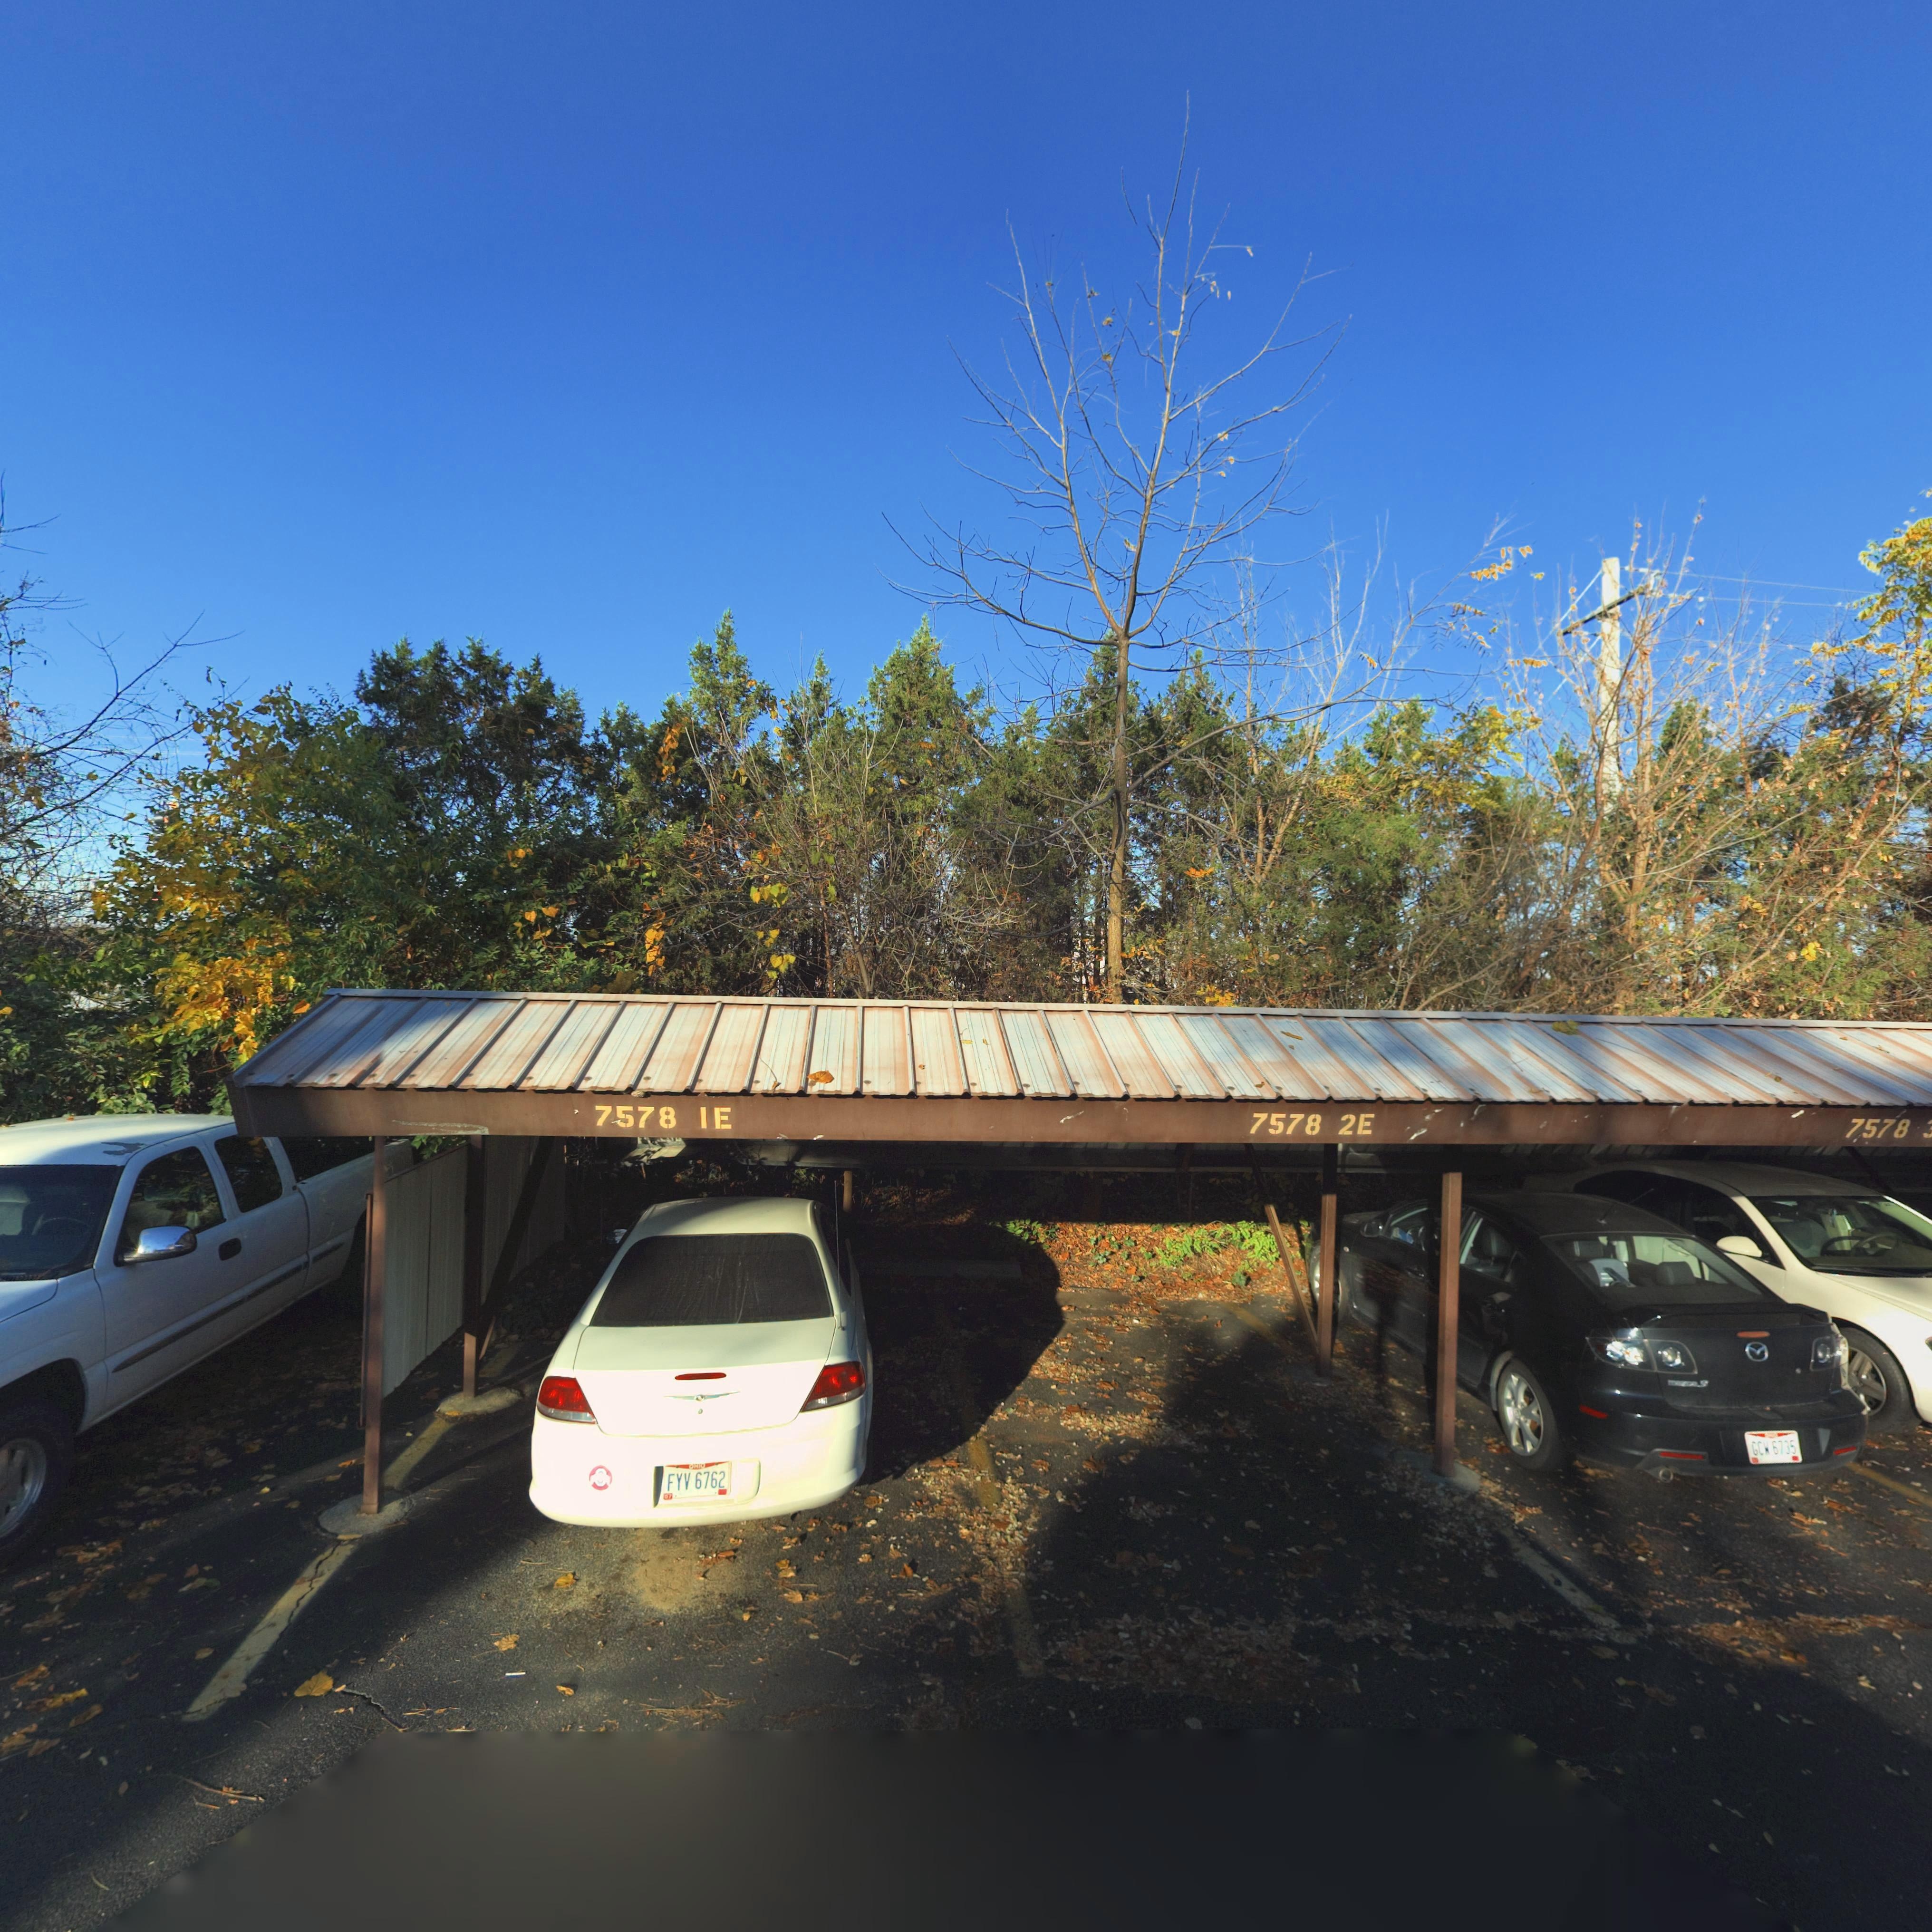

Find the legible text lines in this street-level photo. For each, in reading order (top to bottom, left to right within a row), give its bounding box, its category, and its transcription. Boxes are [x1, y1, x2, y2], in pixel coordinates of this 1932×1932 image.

[594, 1104, 677, 1130] StreetNumber: 7578
[1248, 1112, 1323, 1136] StreetNumber: 7578
[1844, 1118, 1912, 1140] StreetNumber: 7578